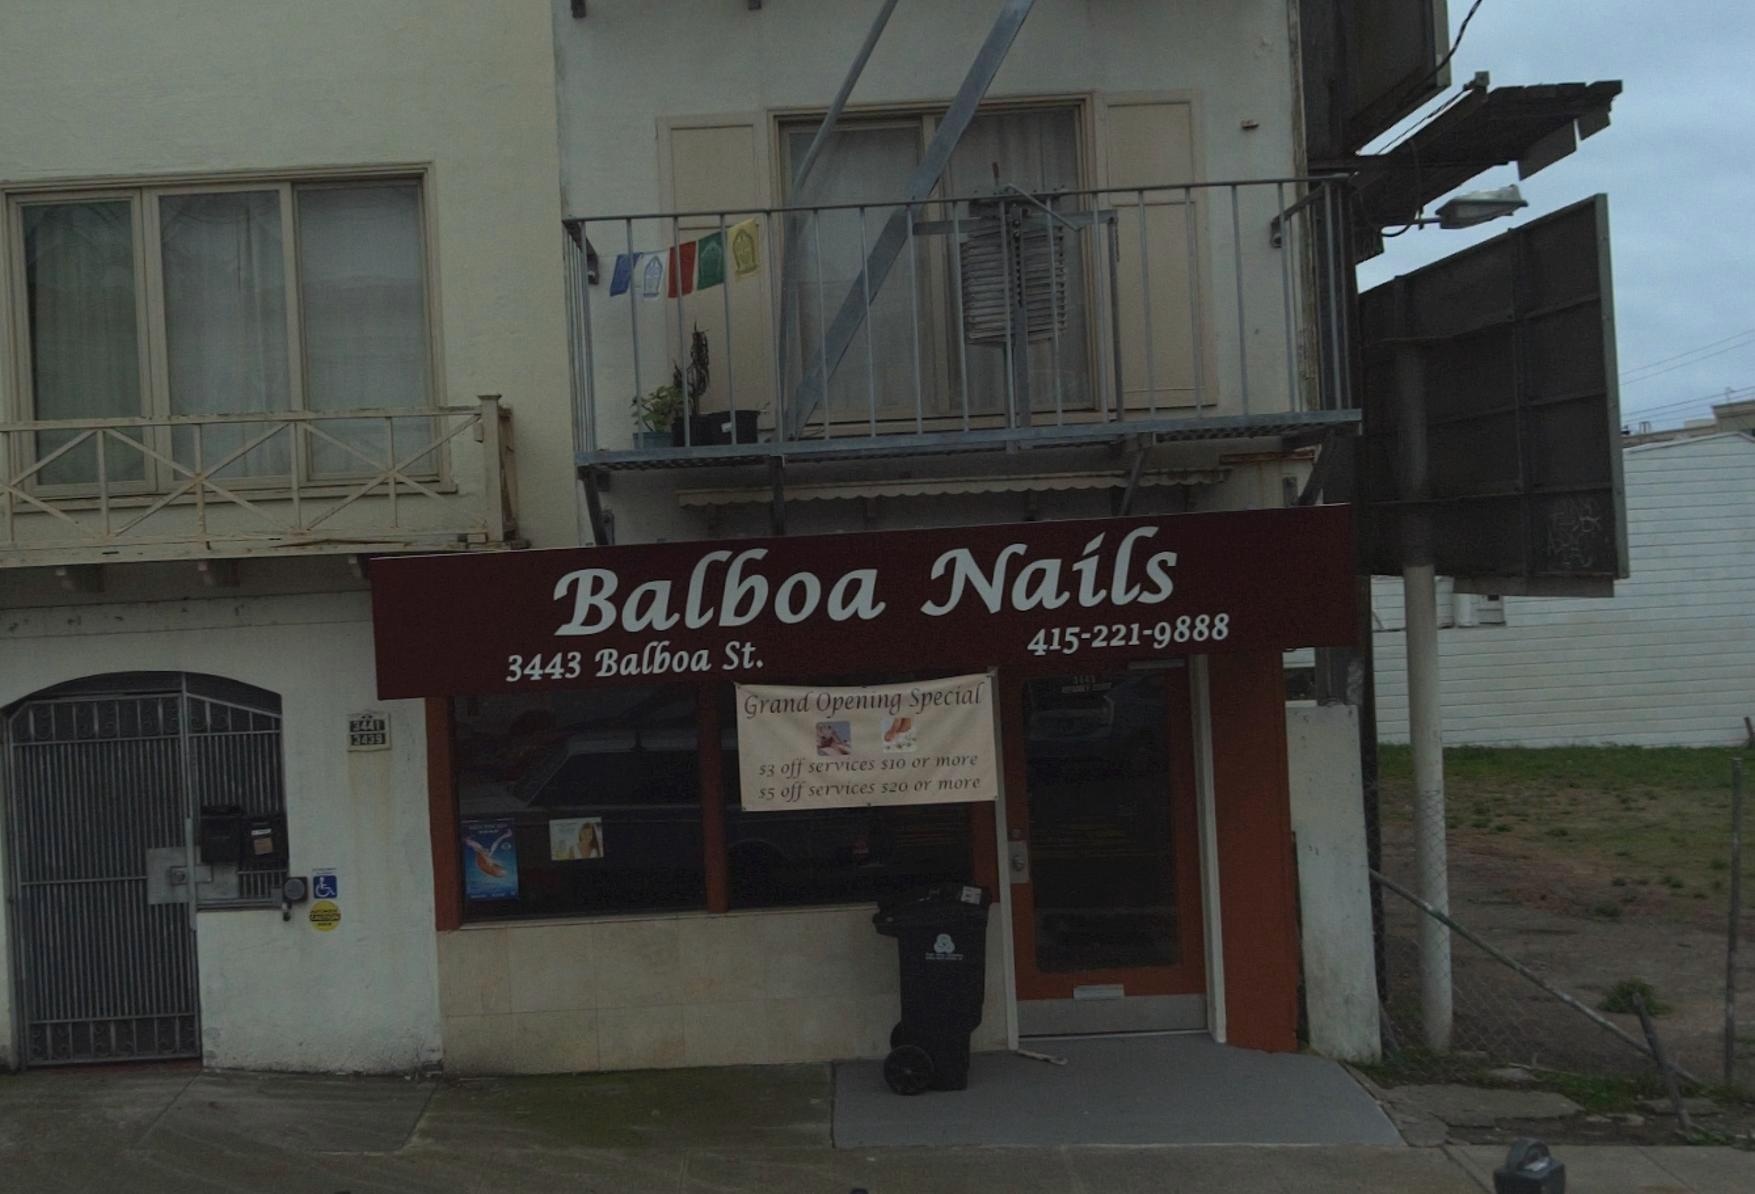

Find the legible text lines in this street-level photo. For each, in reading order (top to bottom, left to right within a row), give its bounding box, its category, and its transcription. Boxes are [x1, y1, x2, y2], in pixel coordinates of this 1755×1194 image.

[548, 522, 1193, 640] BusinessName: Balboa Nails
[1021, 609, 1238, 659] None: 415-221-9888
[504, 648, 585, 684] StreetNumber: 3443
[591, 638, 766, 679] StreetName: Balboa St.
[1071, 673, 1097, 686] None: 3443
[740, 679, 985, 721] None: Grand Opening Special
[351, 718, 382, 733] None: 3441
[352, 732, 384, 746] None: 3439
[765, 753, 979, 781] None: 3 off services $10 or more
[765, 775, 982, 804] None: 5 off services $20 or more